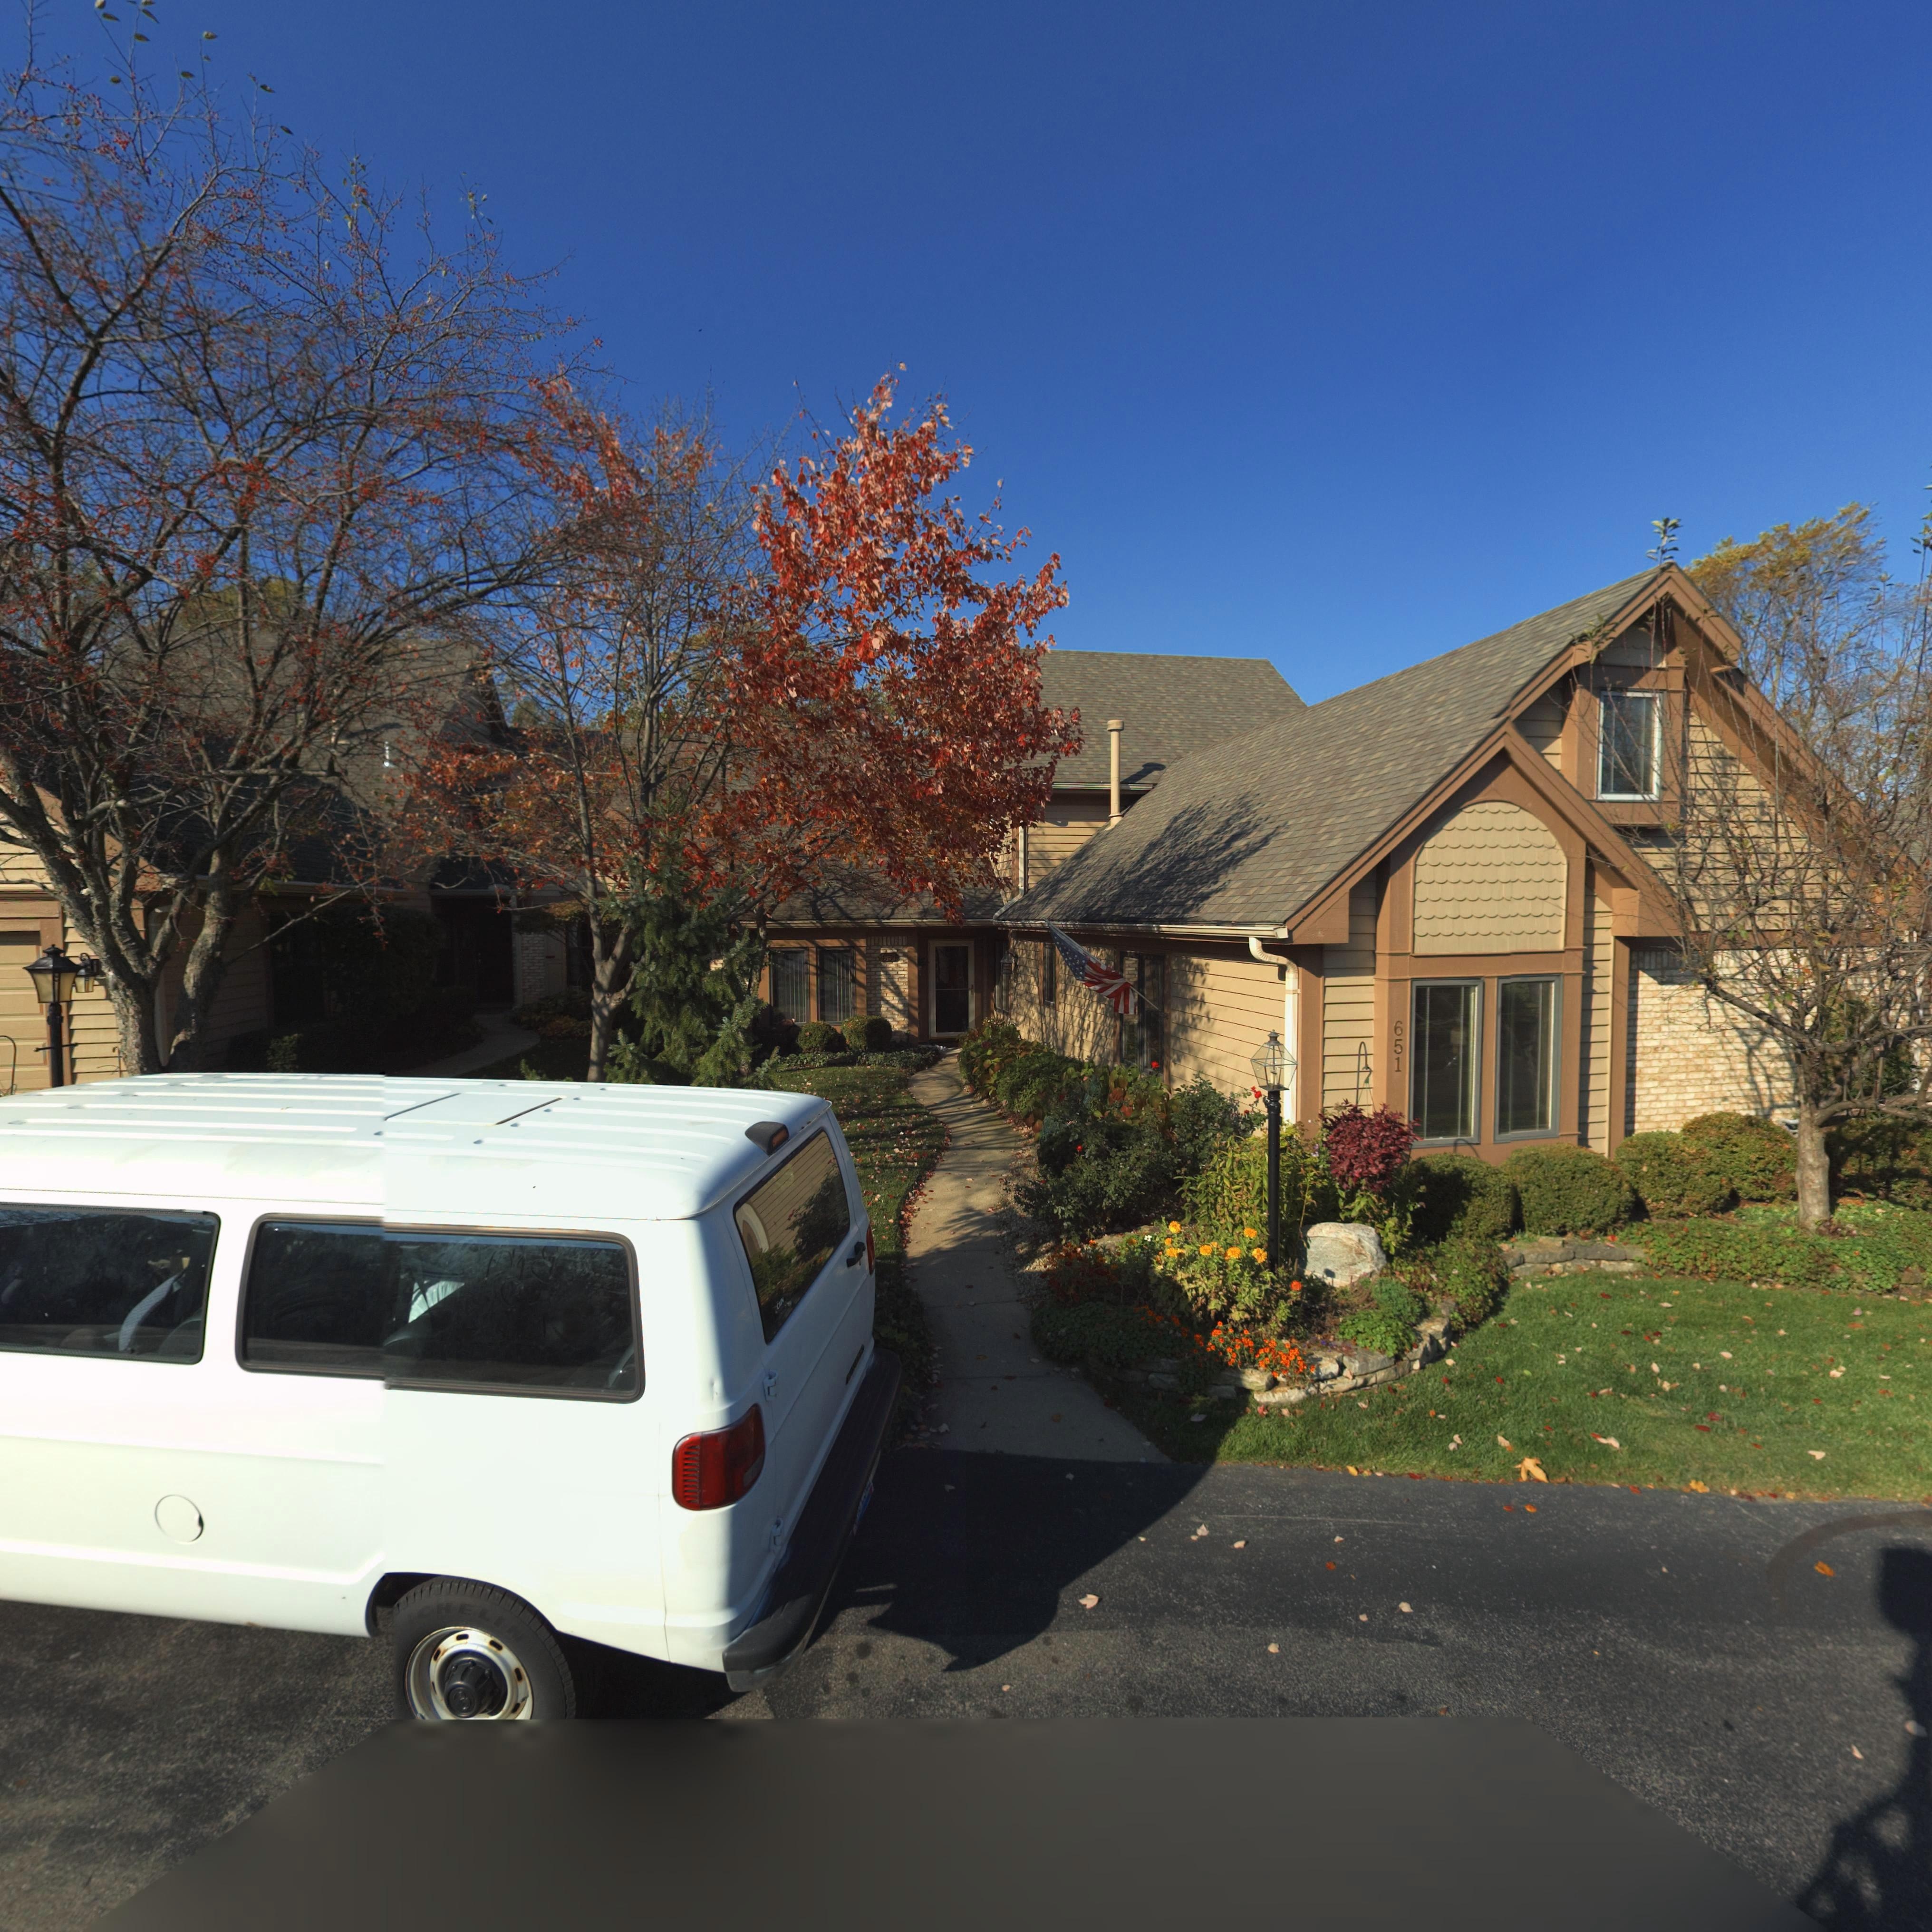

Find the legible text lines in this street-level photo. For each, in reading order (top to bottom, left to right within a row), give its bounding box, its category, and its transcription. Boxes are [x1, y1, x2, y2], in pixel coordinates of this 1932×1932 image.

[881, 953, 896, 961] StreetNumber: 651
[1393, 1020, 1404, 1072] StreetNumber: 651